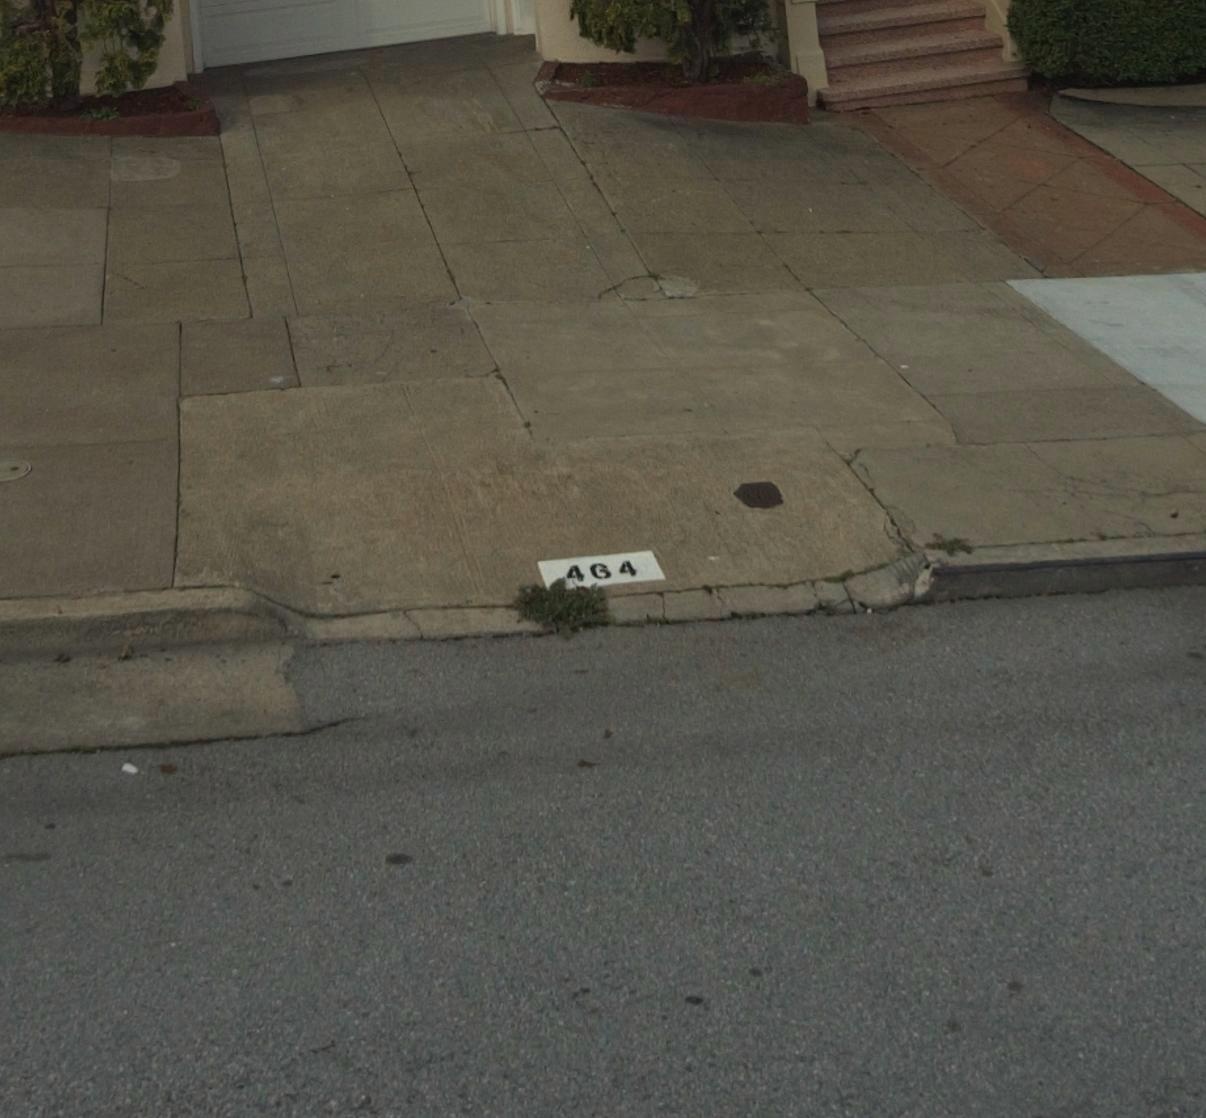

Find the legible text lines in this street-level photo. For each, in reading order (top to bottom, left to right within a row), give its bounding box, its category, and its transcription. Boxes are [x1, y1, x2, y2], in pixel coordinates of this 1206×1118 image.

[564, 557, 641, 584] StreetNumber: 464